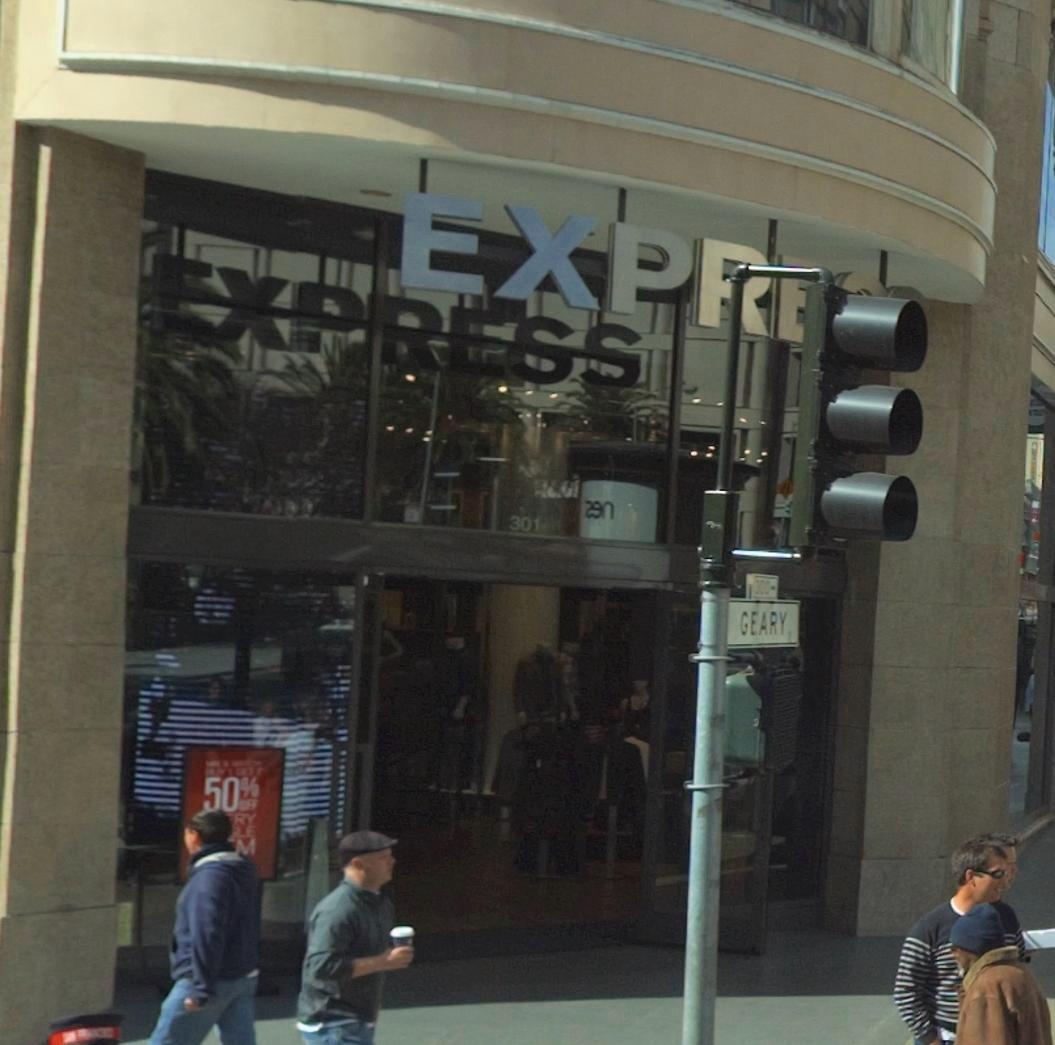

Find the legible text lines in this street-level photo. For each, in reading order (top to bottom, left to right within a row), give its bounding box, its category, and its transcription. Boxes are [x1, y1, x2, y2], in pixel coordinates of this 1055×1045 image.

[390, 182, 779, 346] BusinessName: EXPR
[143, 245, 649, 400] BusinessName: EXPRESS
[506, 510, 544, 536] StreetNumber: 301
[751, 577, 774, 598] StreetNumberRange: 300
[736, 606, 791, 638] StreetName: GEARY
[199, 772, 243, 817] None: 50
[236, 771, 265, 801] None: %